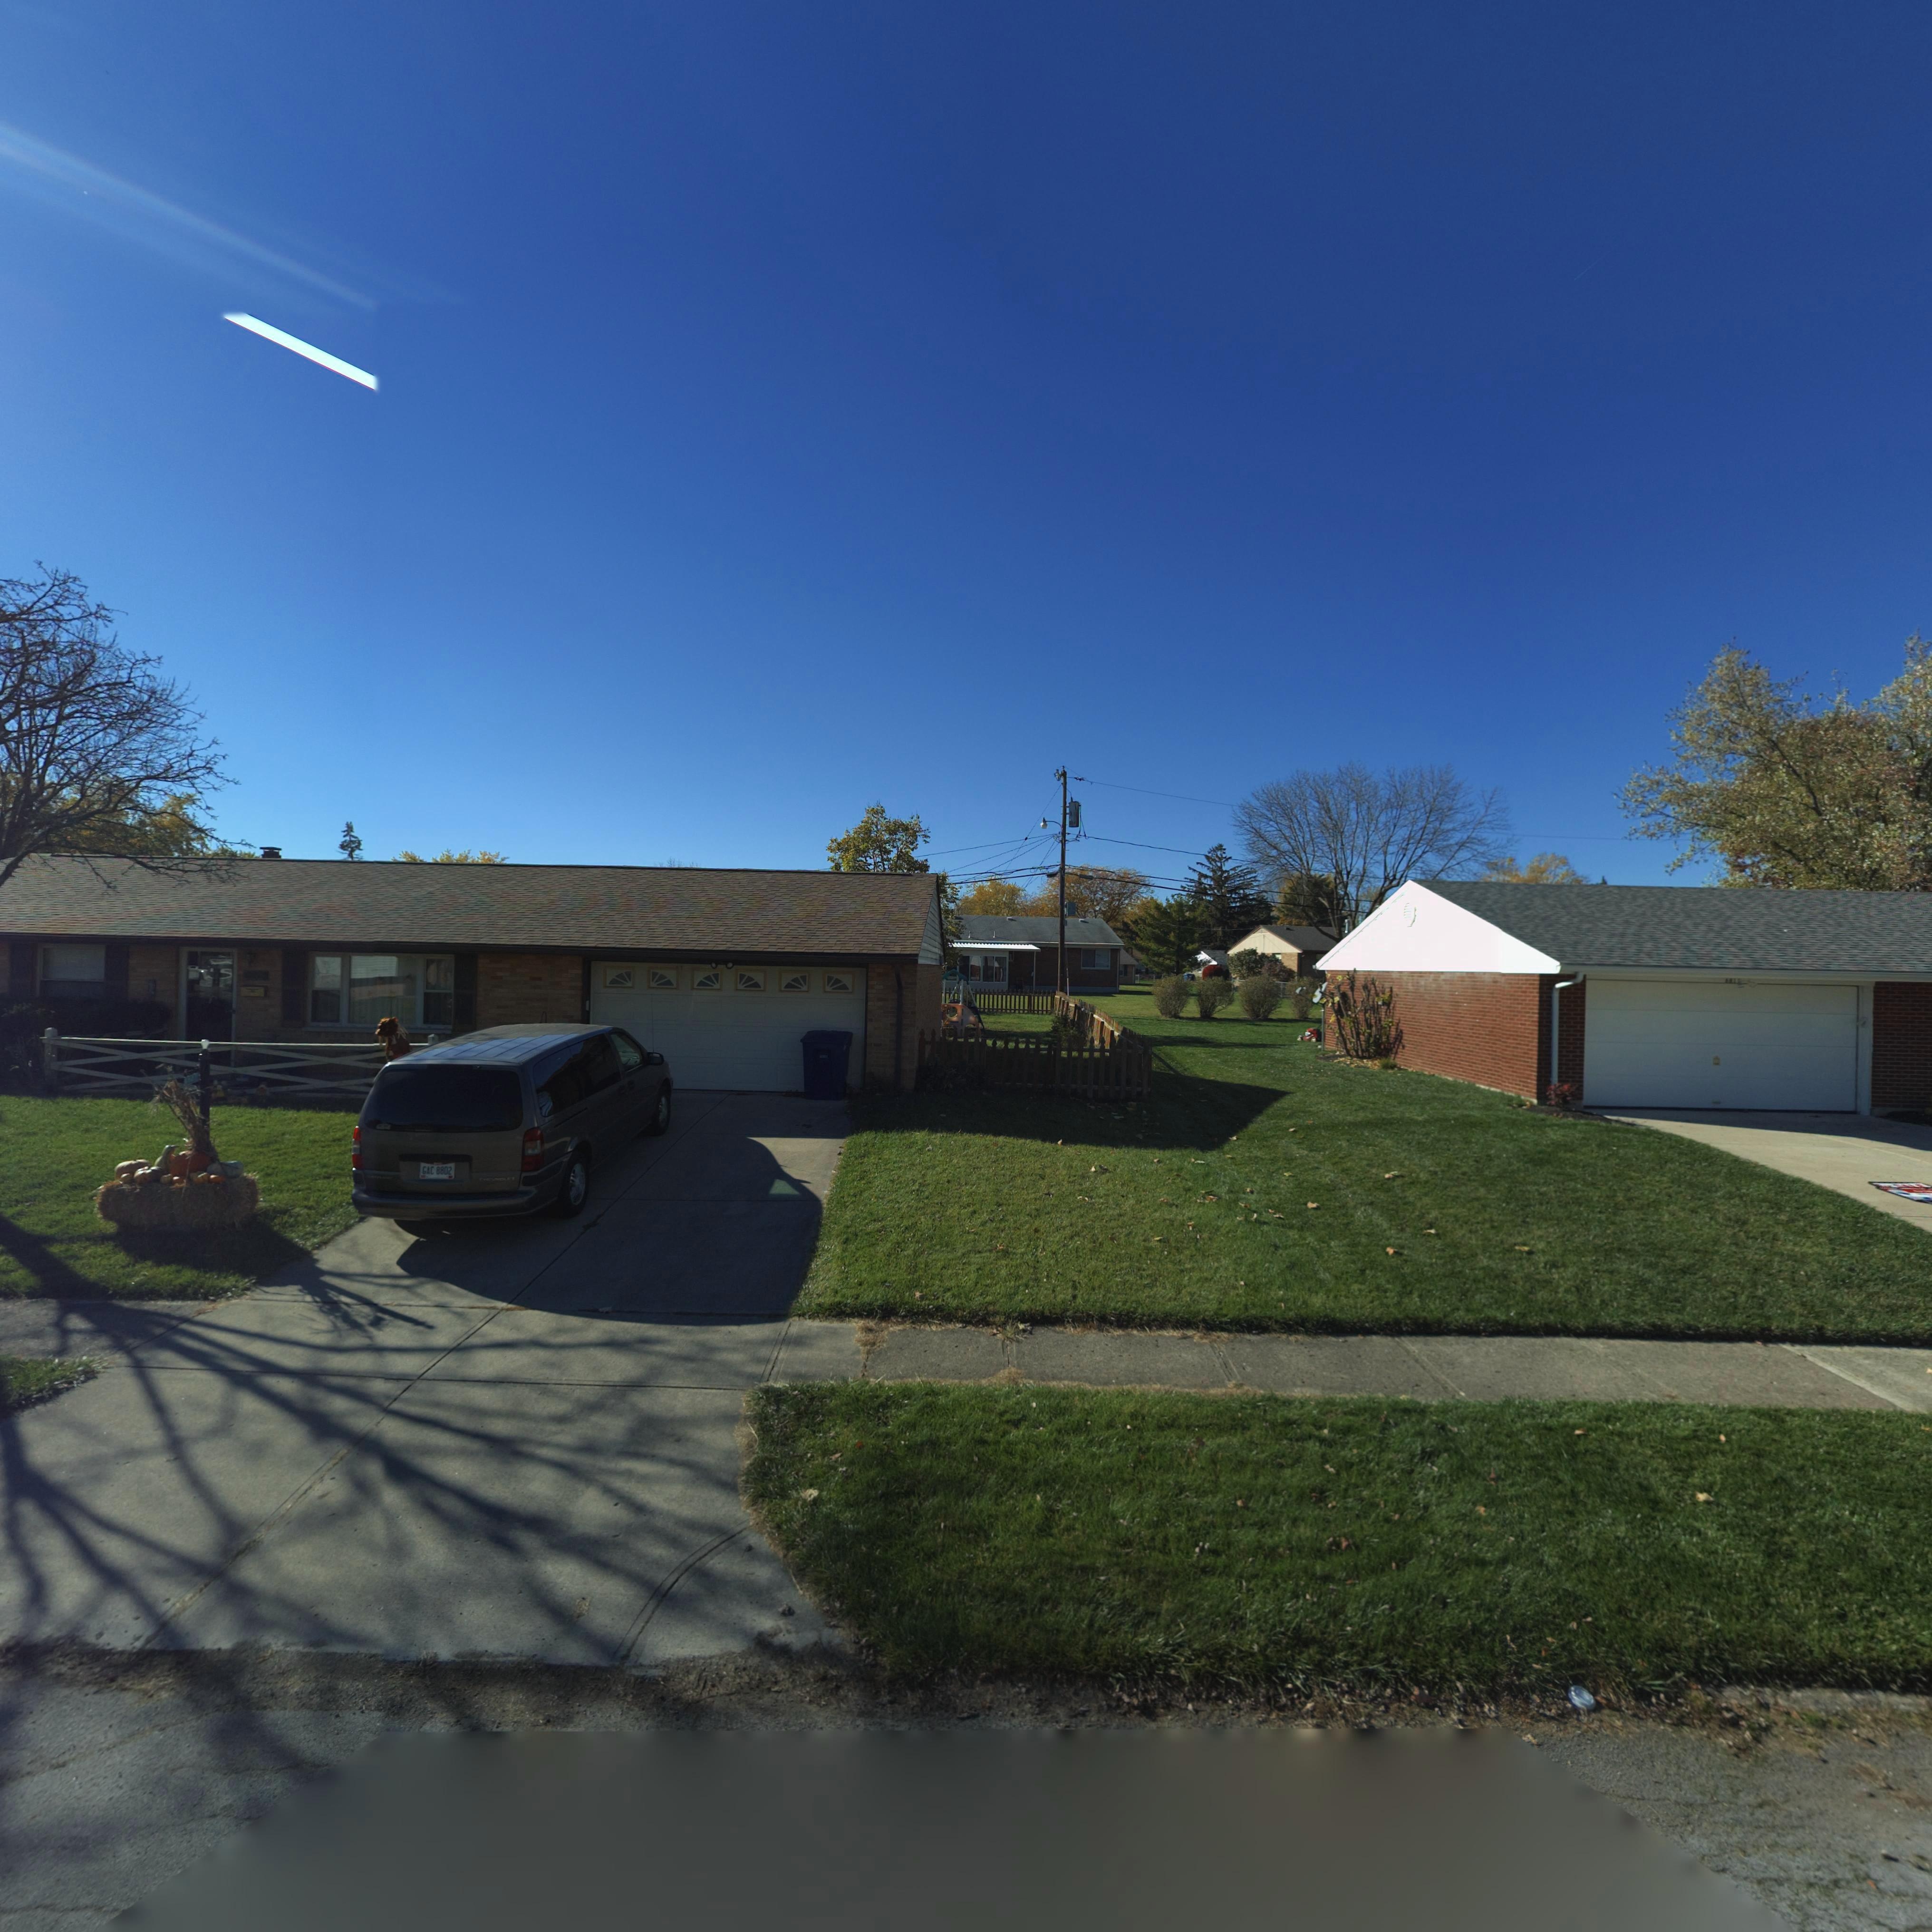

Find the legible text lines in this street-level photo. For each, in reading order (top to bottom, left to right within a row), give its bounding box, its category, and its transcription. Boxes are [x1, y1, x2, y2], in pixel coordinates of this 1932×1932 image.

[1725, 977, 1741, 984] StreetNumber: 681*
[422, 1165, 453, 1176] None: GAC*8802
[478, 1177, 516, 1182] None: CHERVOLET